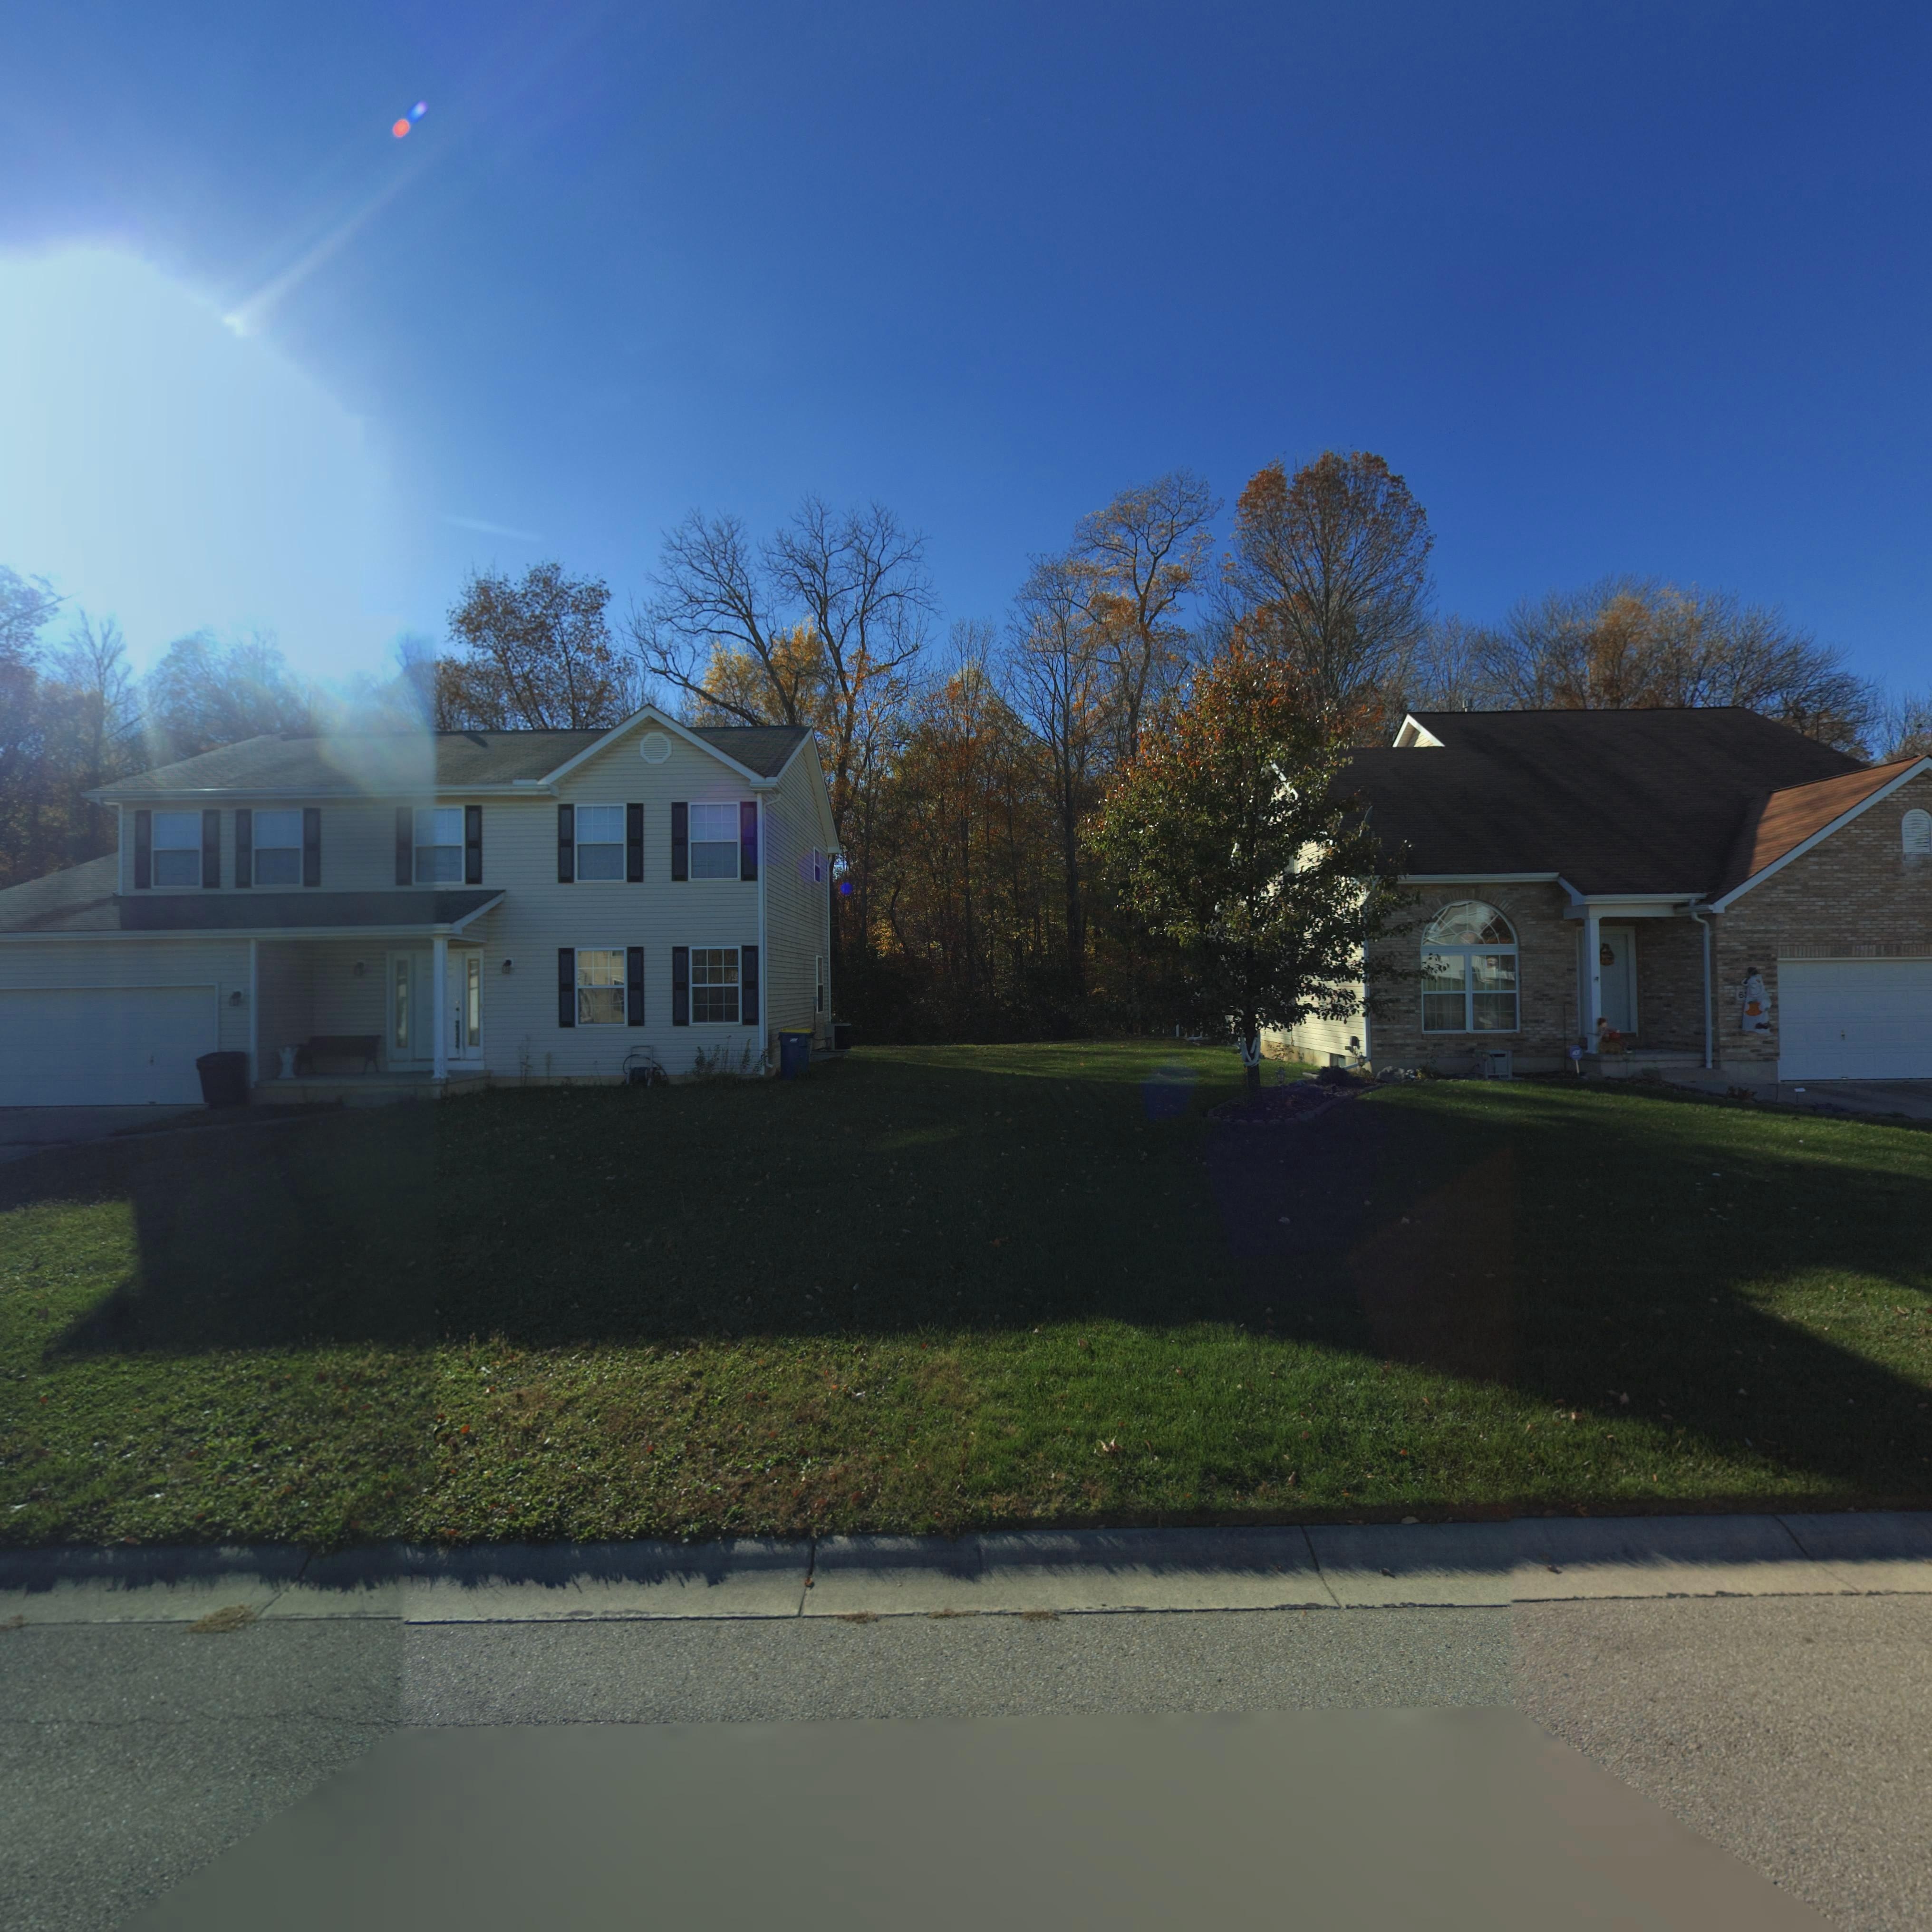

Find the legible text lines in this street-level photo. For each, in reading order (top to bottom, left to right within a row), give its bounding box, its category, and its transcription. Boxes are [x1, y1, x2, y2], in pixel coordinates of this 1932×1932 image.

[1738, 991, 1744, 998] StreetNumber: 6